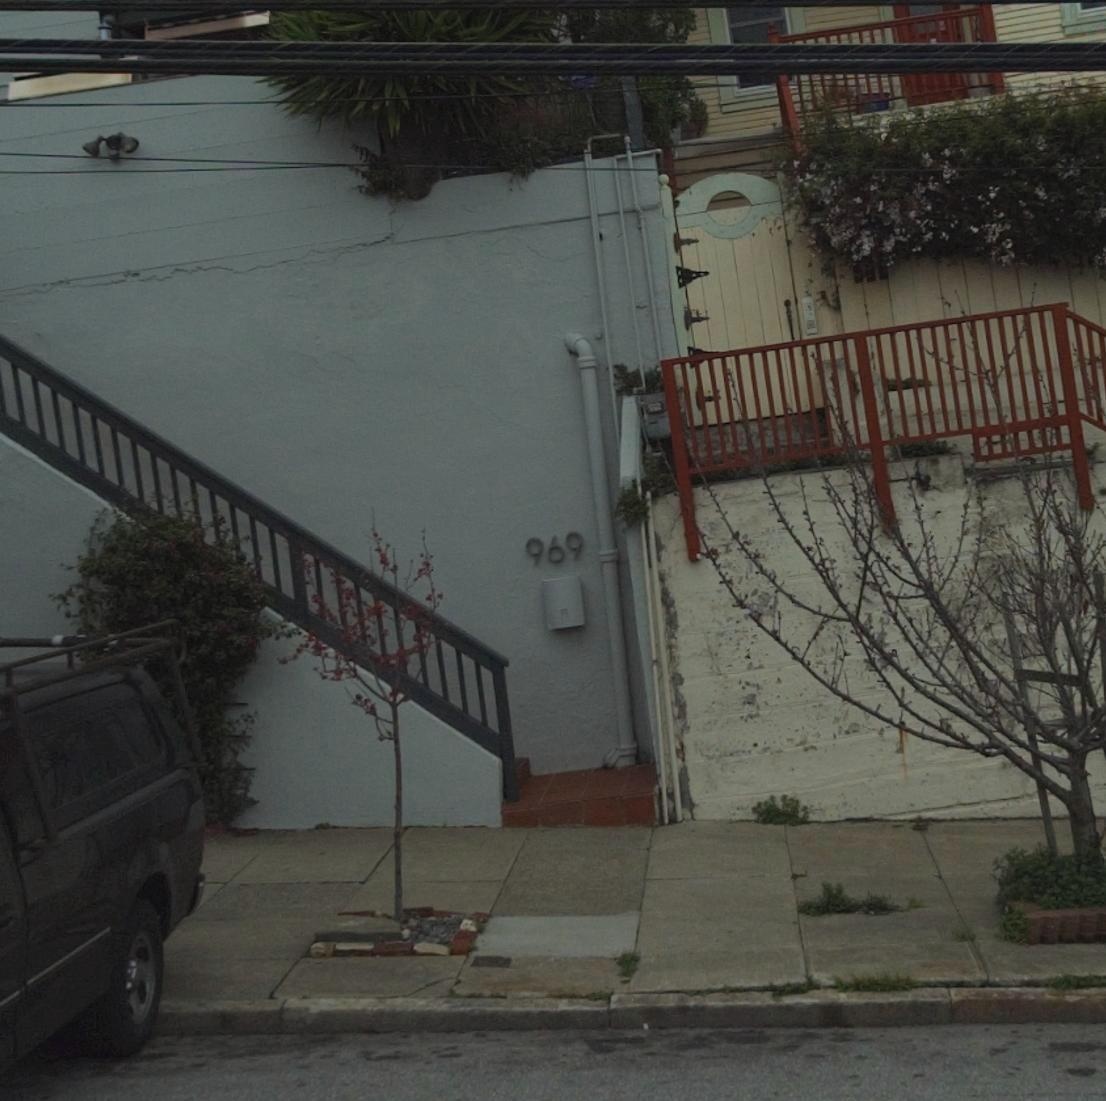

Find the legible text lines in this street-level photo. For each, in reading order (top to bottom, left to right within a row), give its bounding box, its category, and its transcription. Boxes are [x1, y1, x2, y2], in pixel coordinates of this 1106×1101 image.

[521, 529, 586, 567] StreetNumber: 969